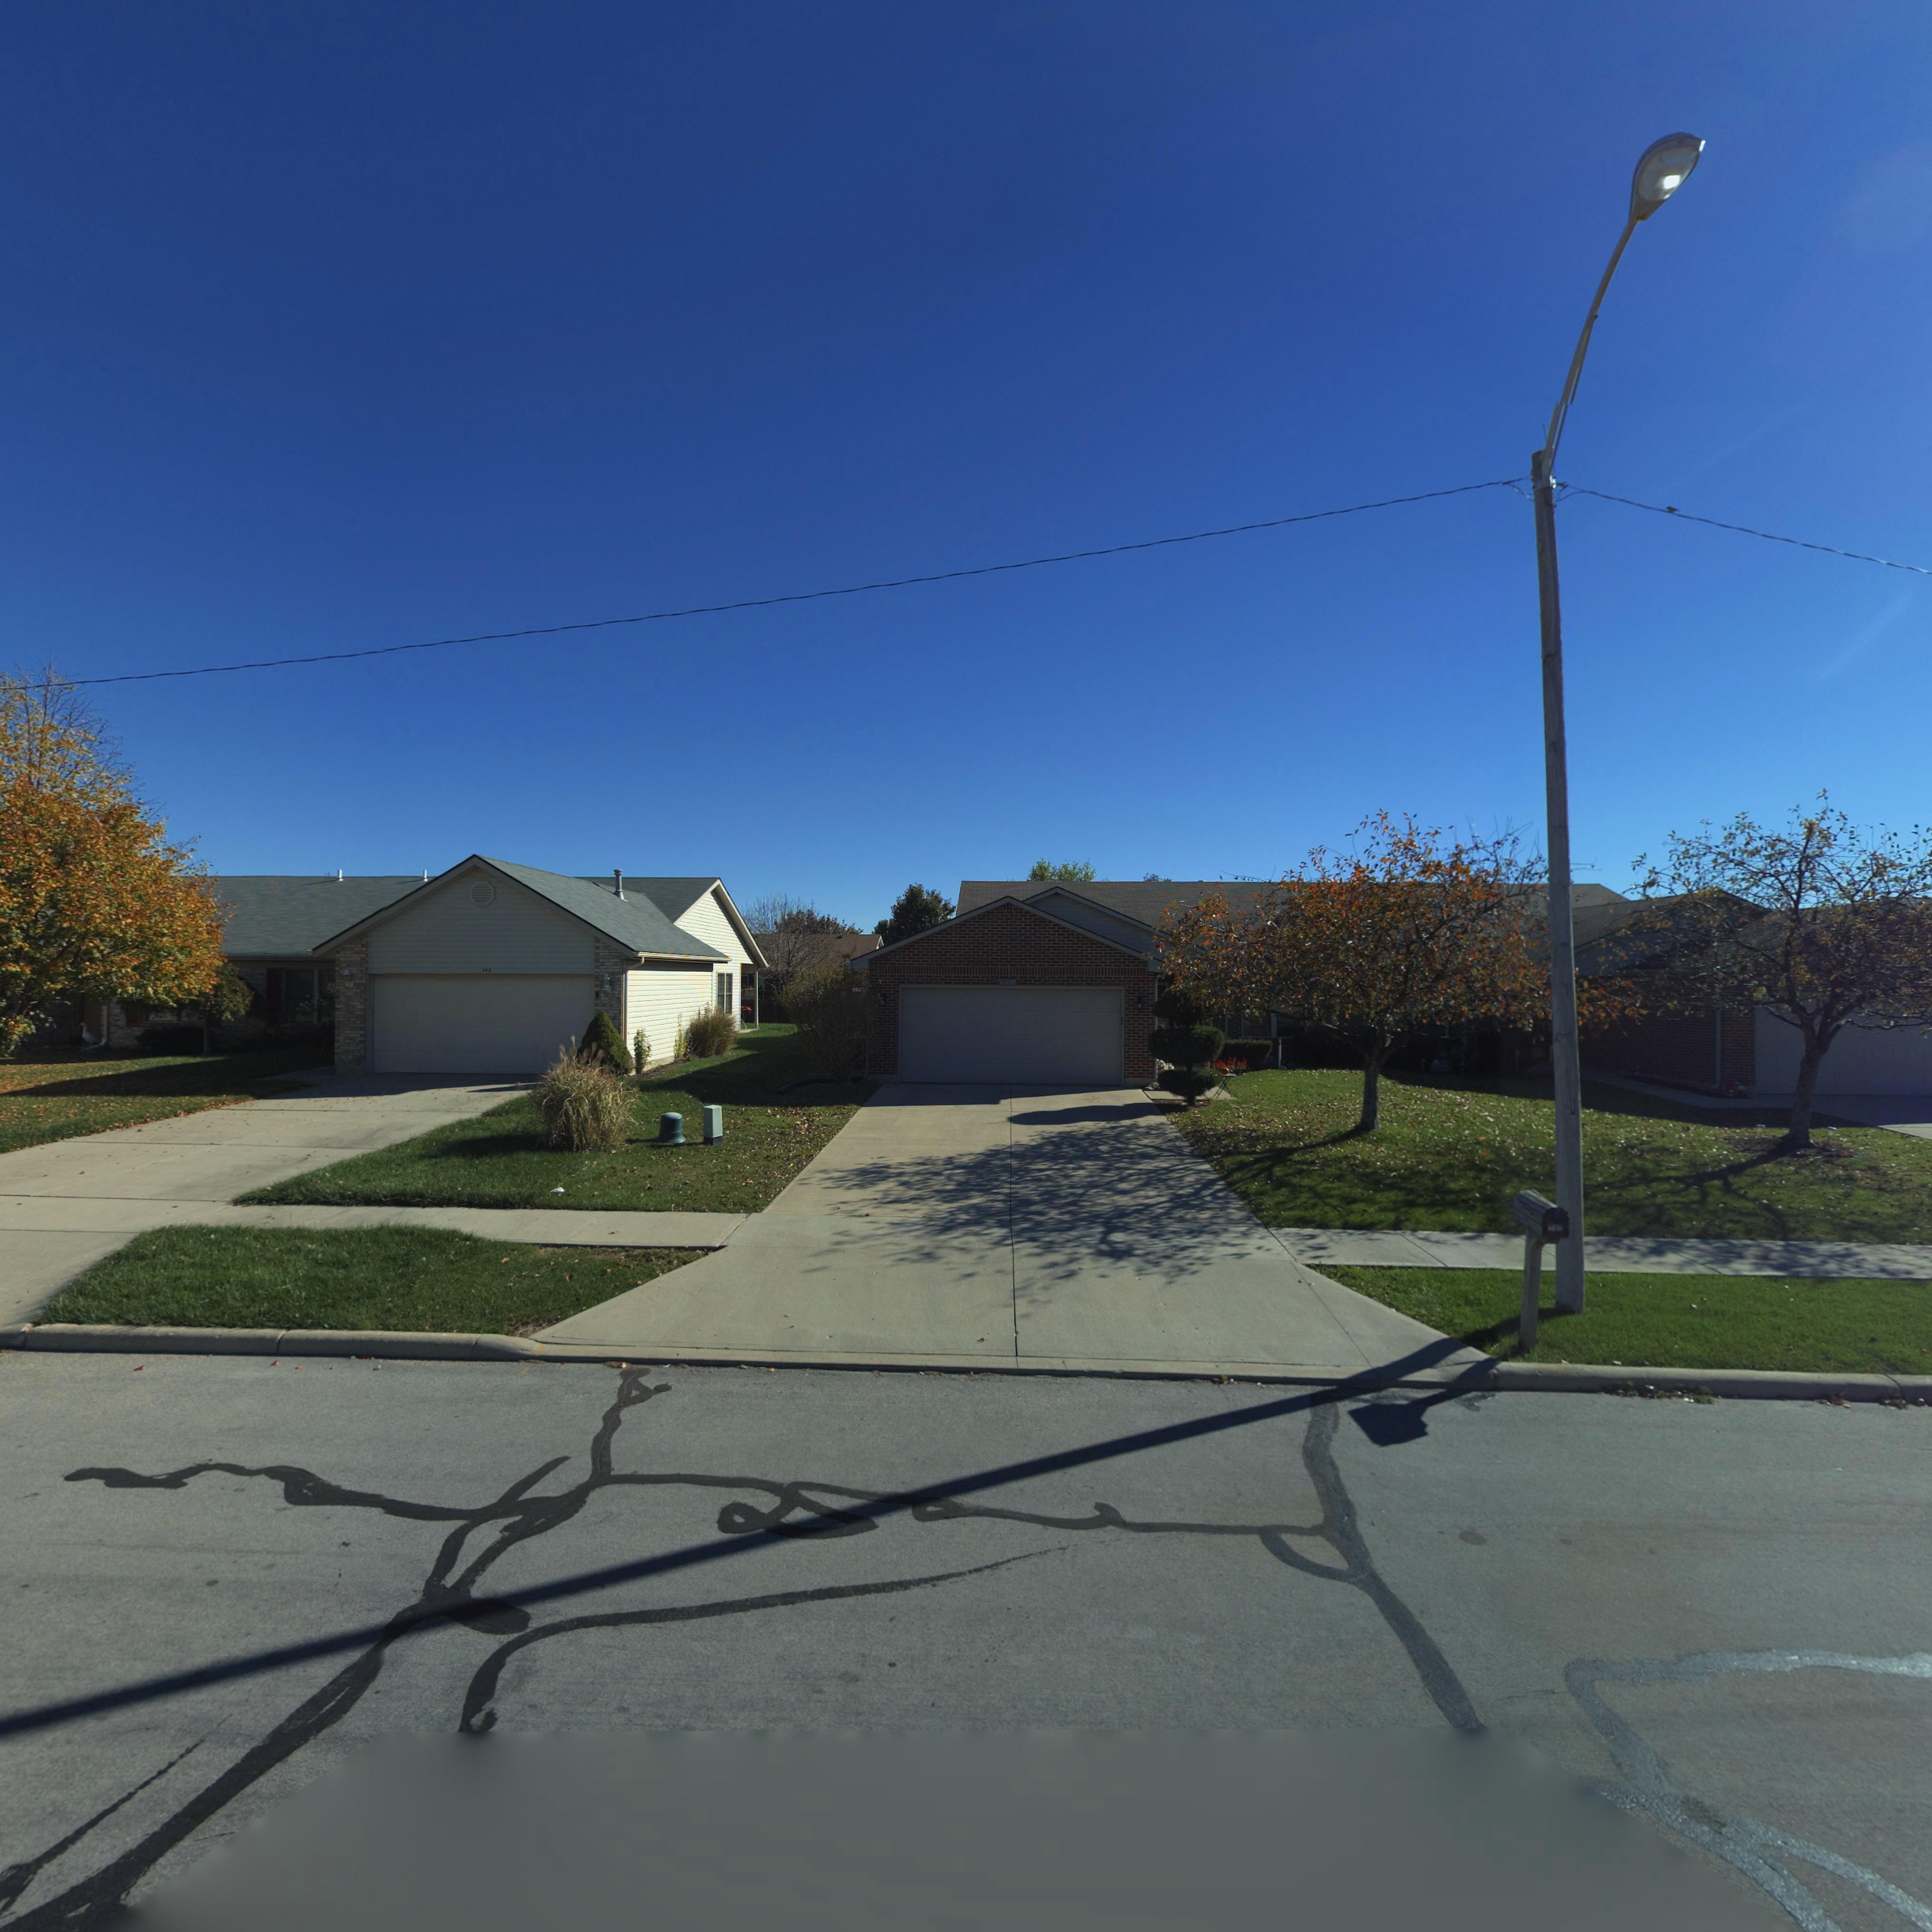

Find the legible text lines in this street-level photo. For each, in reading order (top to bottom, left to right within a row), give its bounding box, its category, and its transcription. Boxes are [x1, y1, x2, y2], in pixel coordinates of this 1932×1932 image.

[481, 967, 491, 973] StreetNumber: 143
[999, 979, 1015, 985] StreetNumber: 145
[1547, 1224, 1564, 1231] StreetNumber: 1*5